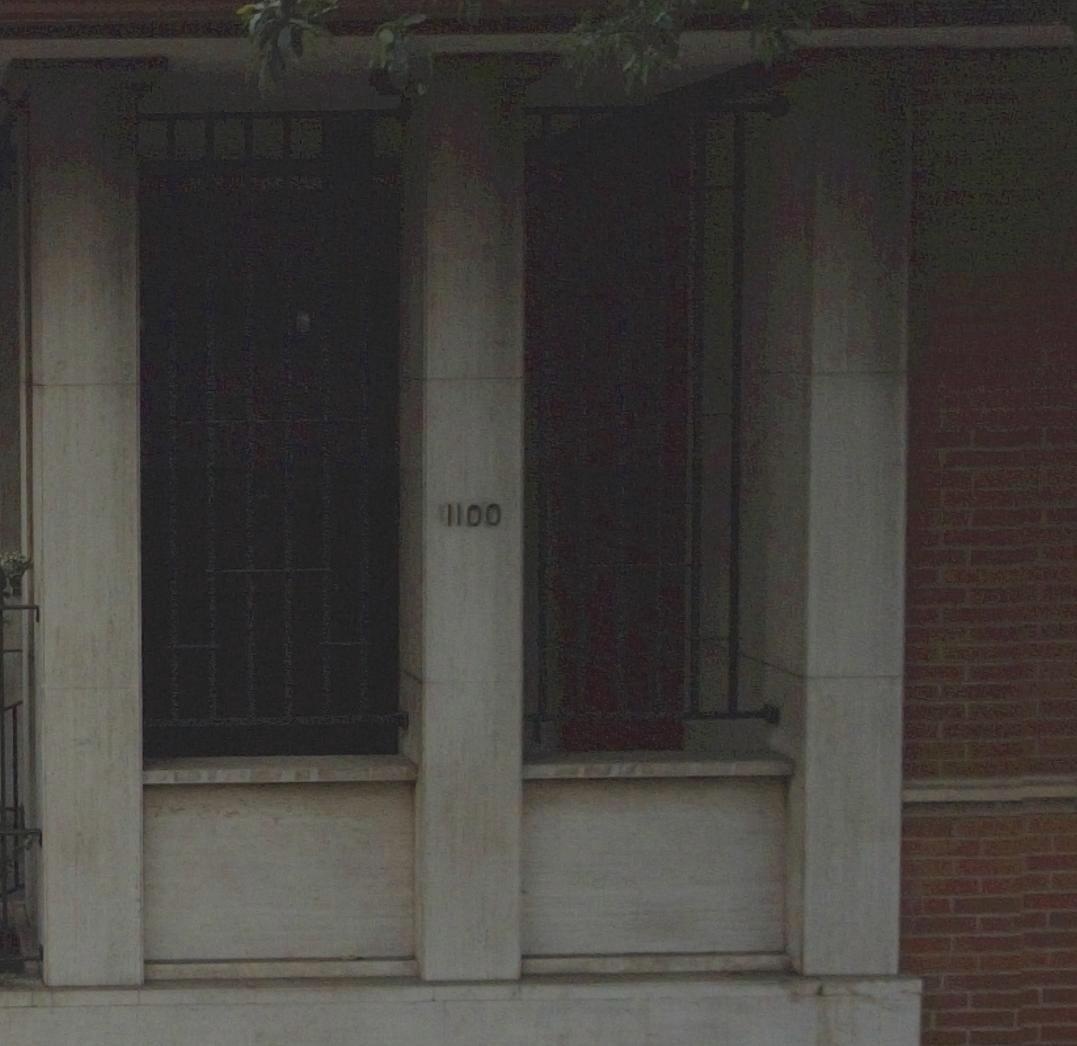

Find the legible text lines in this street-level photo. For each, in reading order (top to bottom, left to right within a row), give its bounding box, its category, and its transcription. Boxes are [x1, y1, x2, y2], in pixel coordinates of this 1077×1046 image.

[443, 499, 504, 531] StreetNumber: 1100